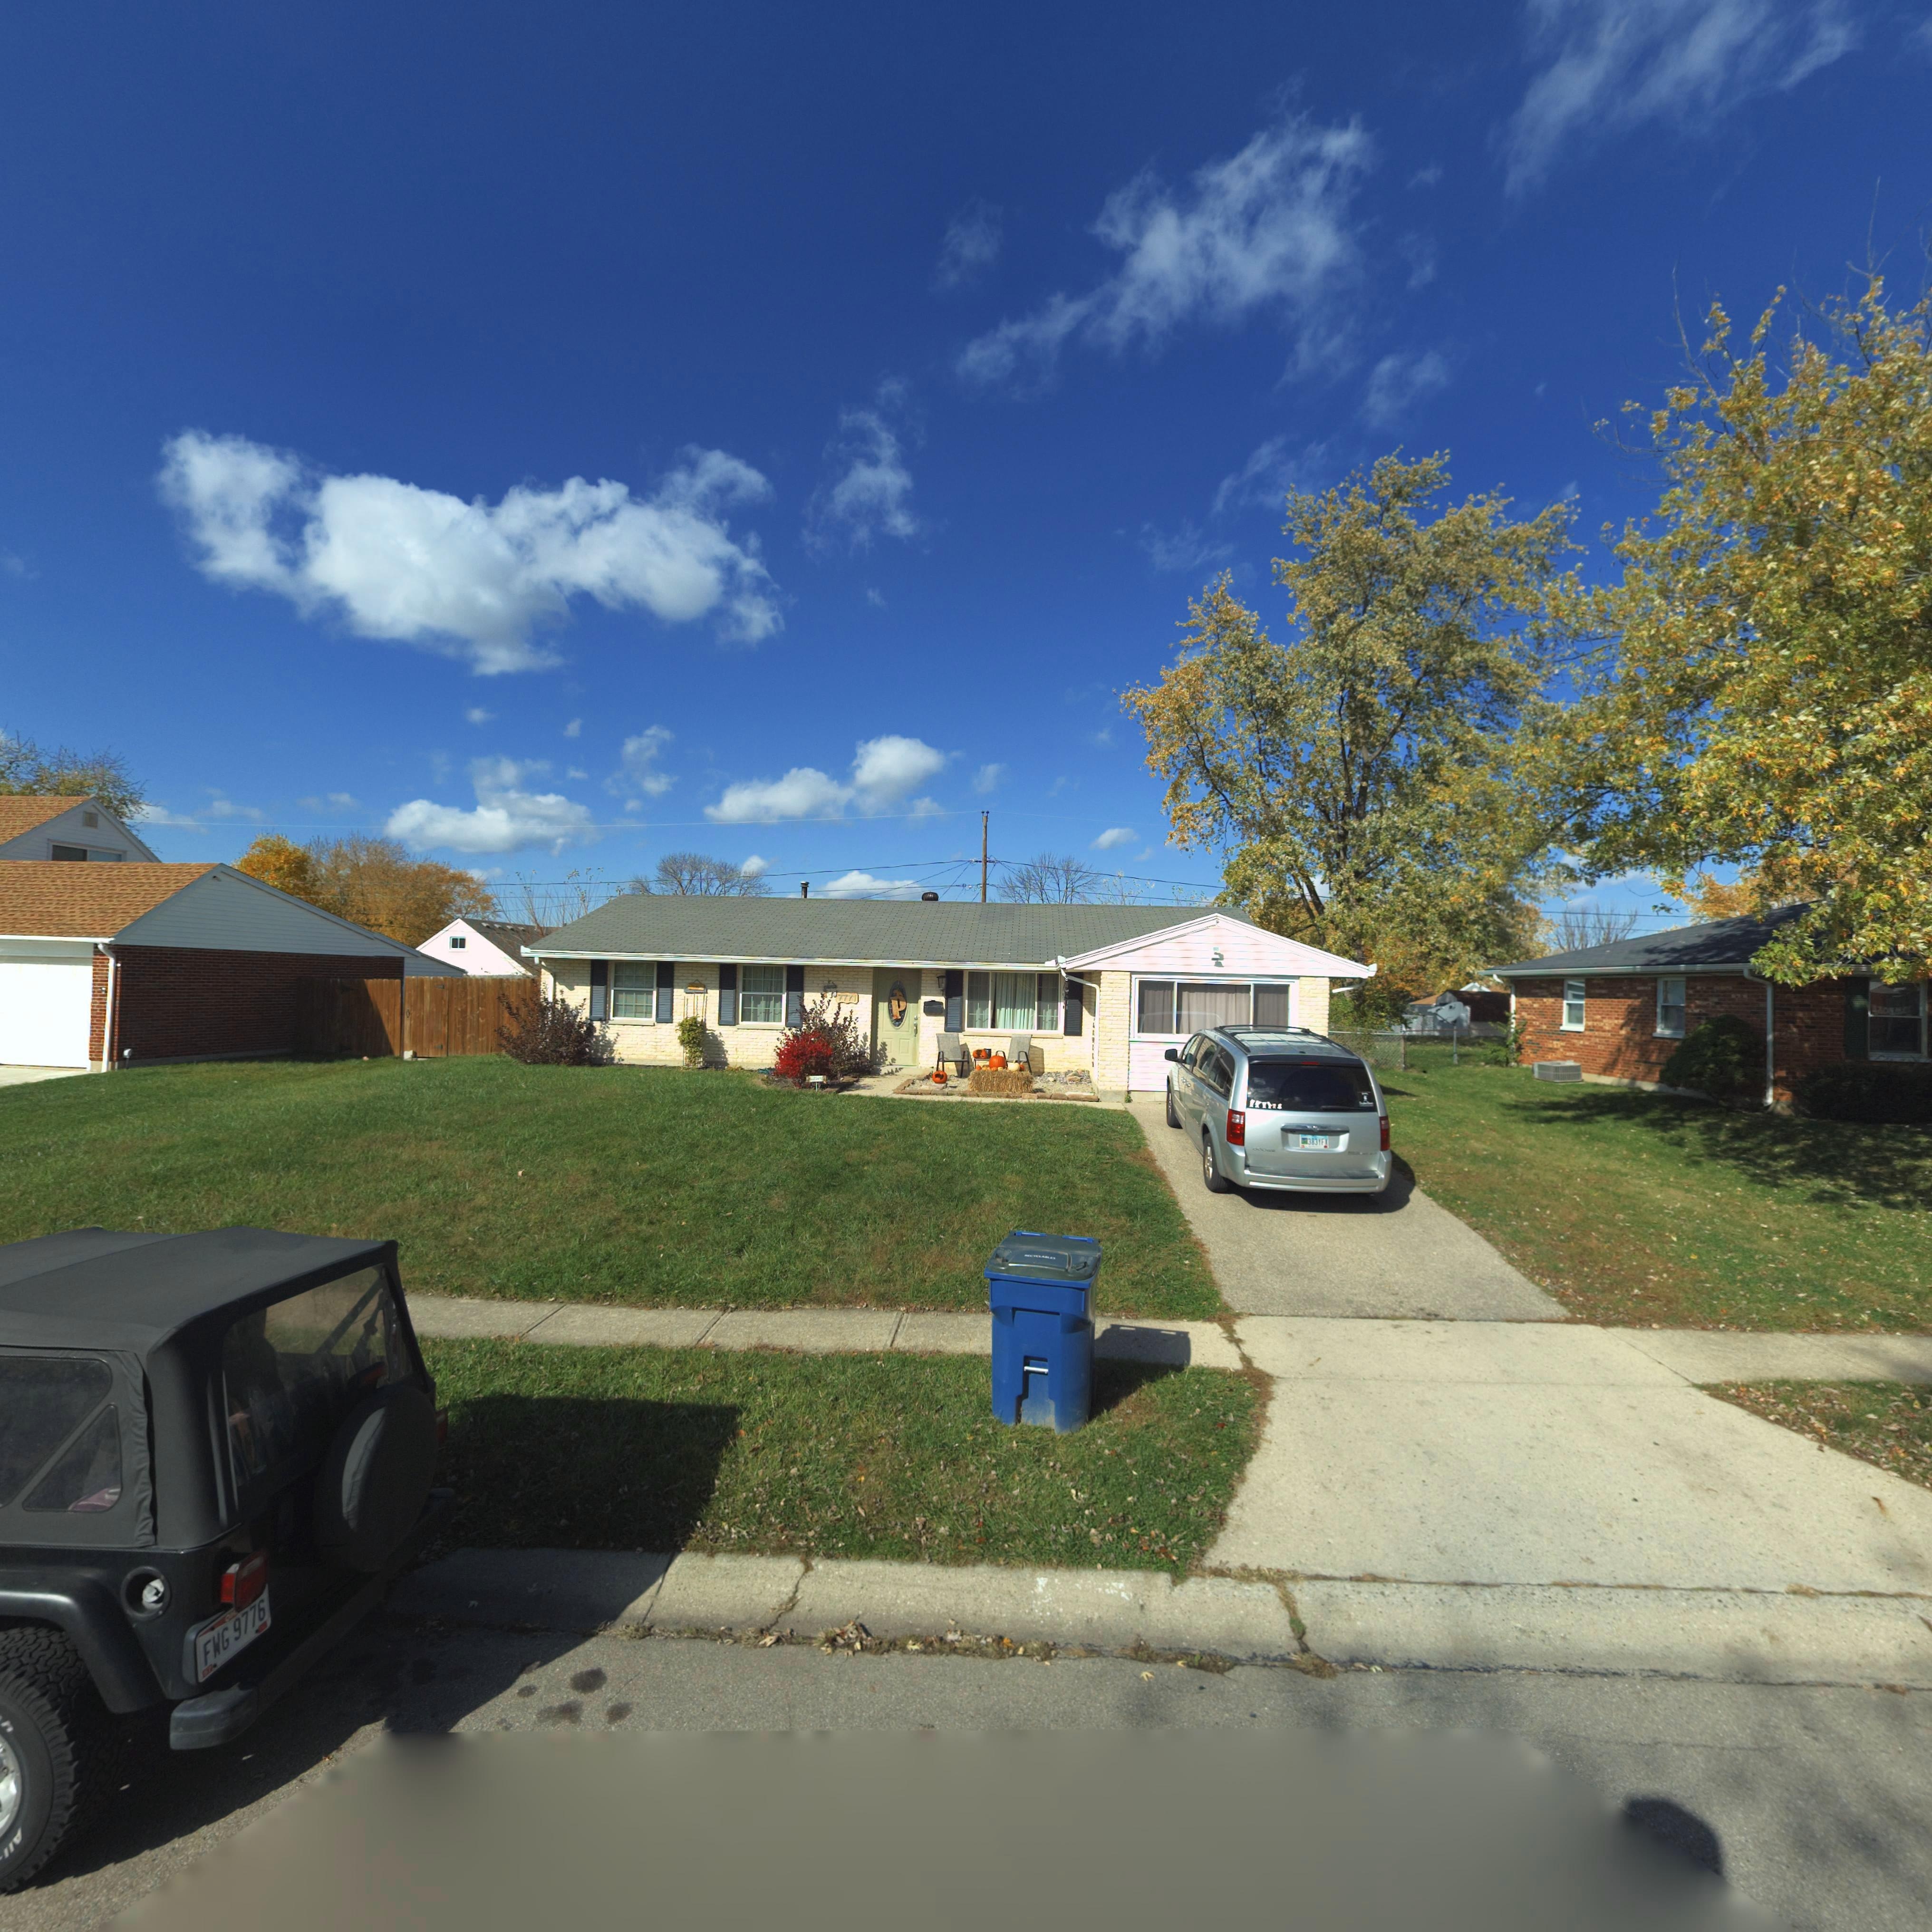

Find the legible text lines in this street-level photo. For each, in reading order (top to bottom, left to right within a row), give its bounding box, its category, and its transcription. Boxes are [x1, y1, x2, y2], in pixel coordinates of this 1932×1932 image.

[837, 994, 857, 1003] StreetNumber: 7771